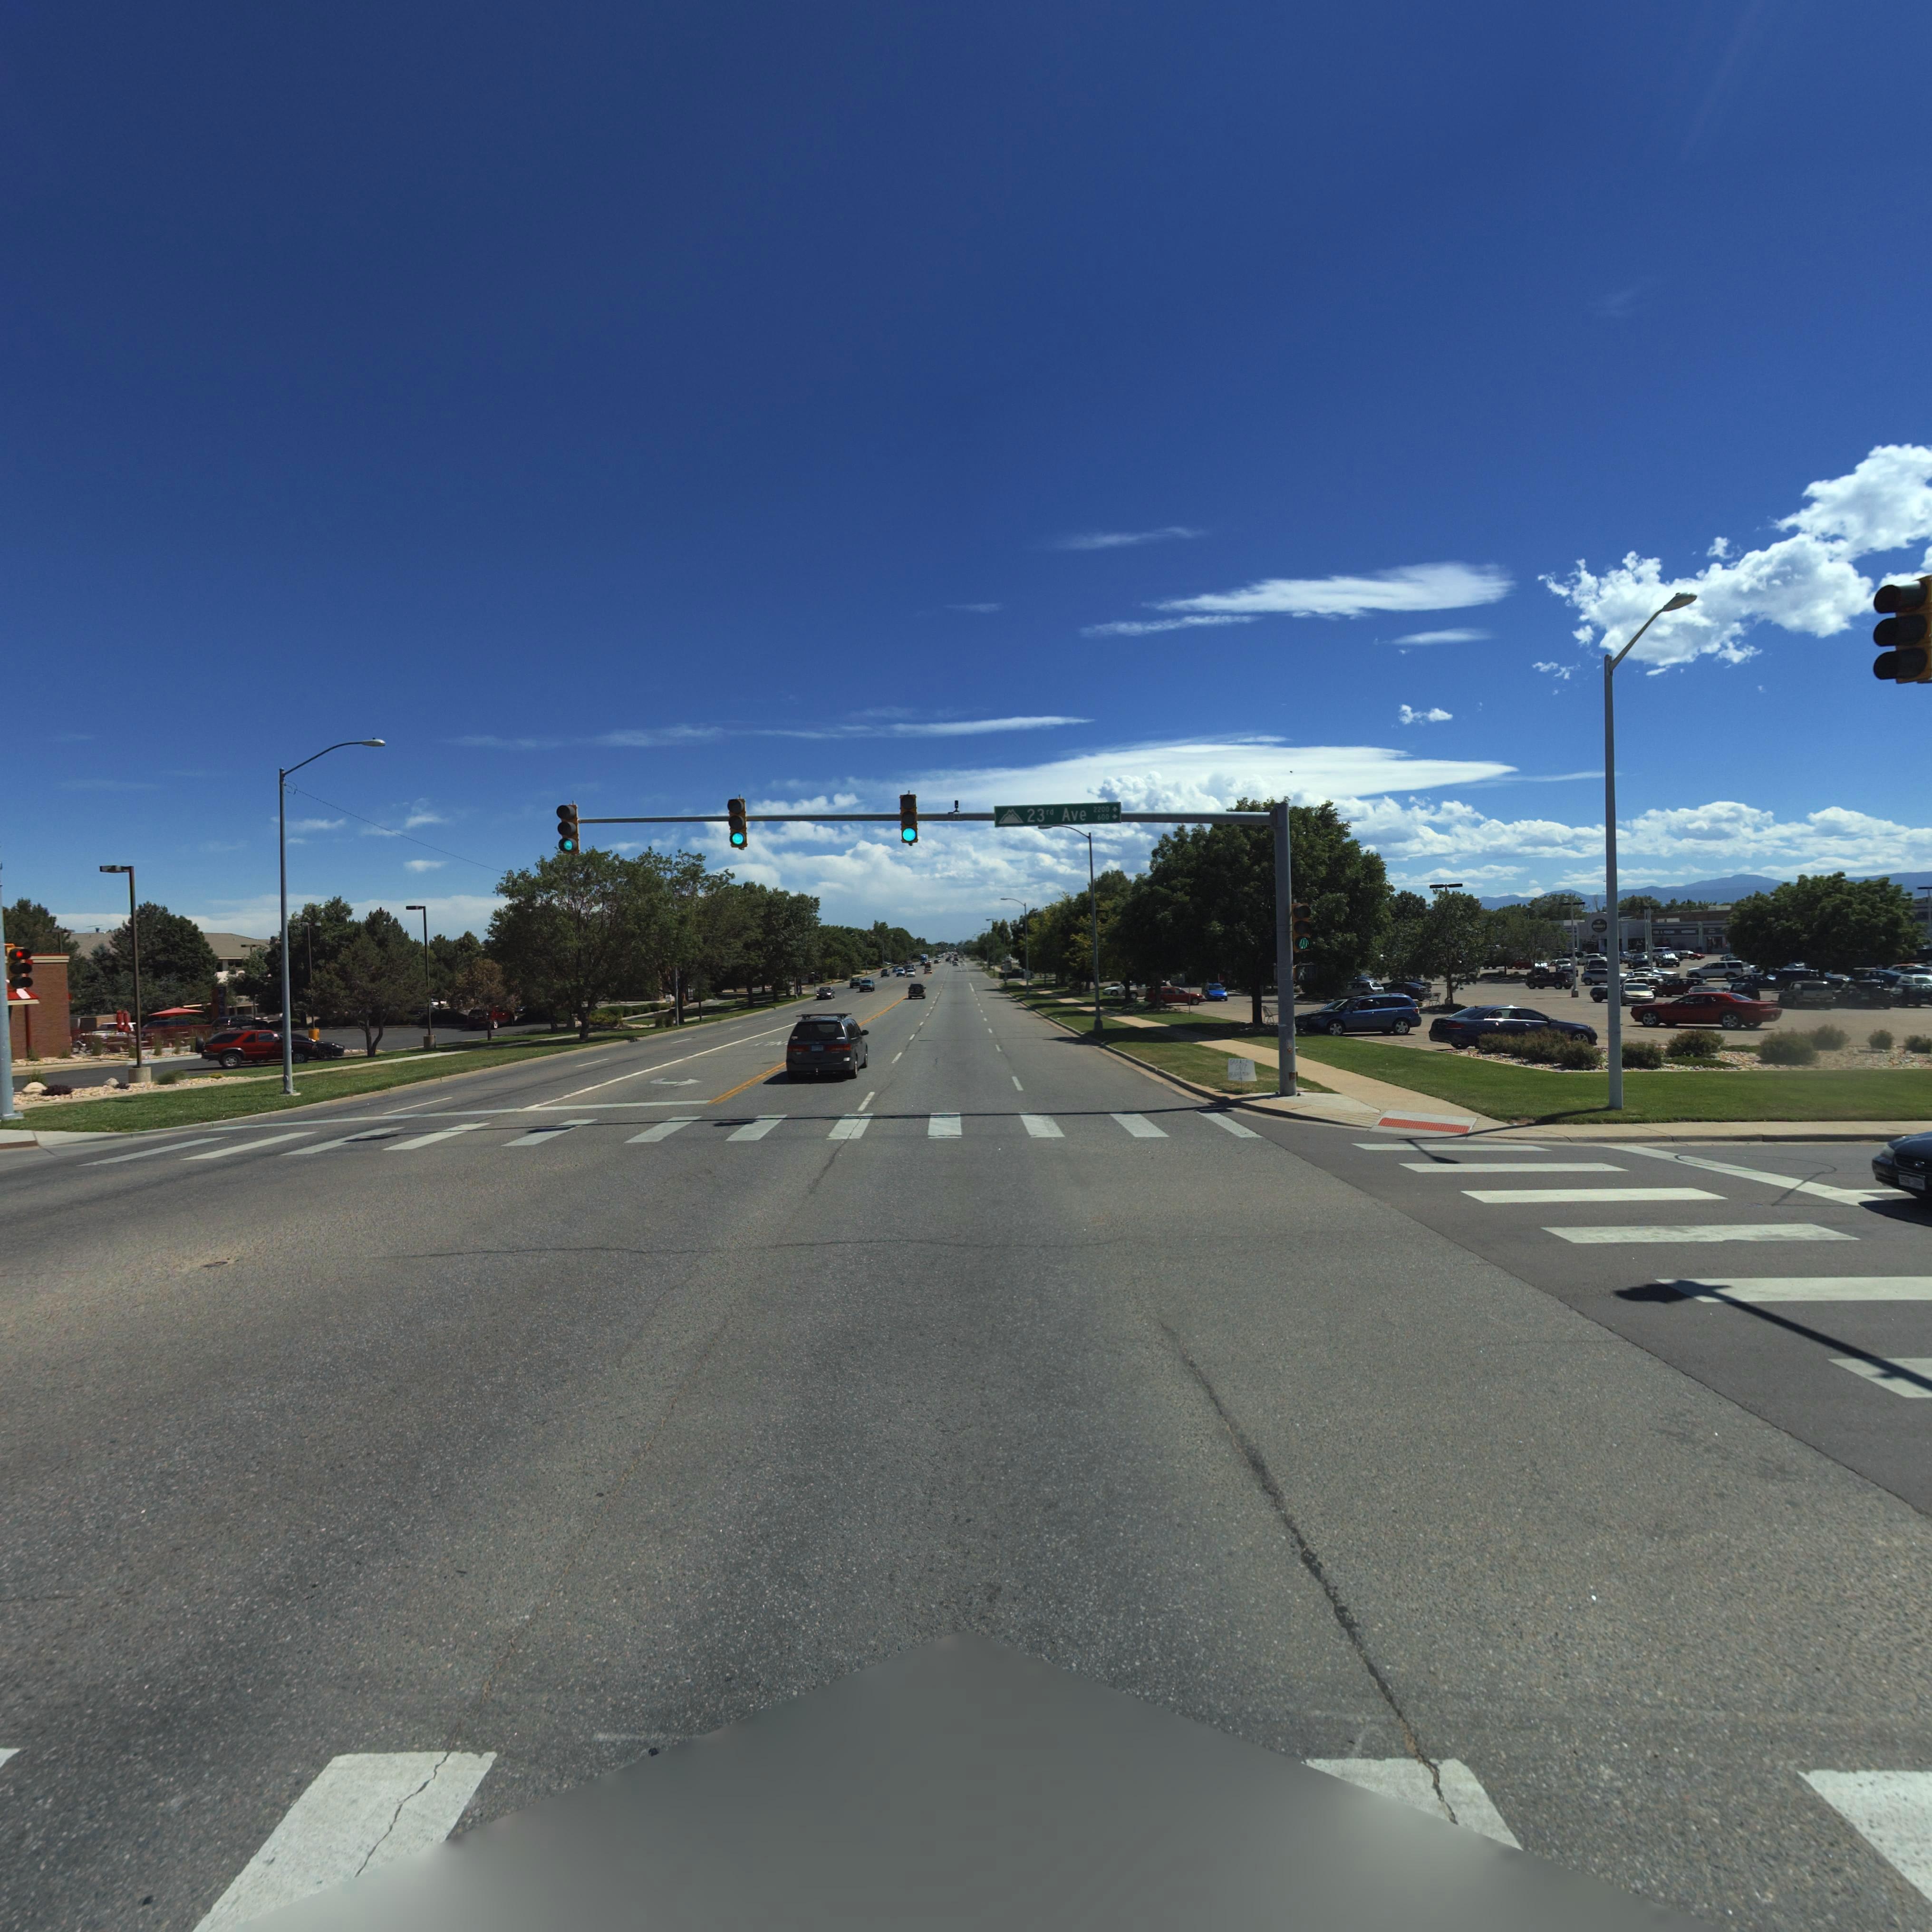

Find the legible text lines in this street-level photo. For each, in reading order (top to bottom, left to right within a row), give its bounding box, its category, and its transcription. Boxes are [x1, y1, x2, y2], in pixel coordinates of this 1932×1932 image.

[1093, 806, 1109, 812] StreetNumberRange: 2200
[1027, 807, 1087, 822] StreetName: 23rd Ave
[1097, 813, 1118, 820] StreetNumberRange: 600 ->